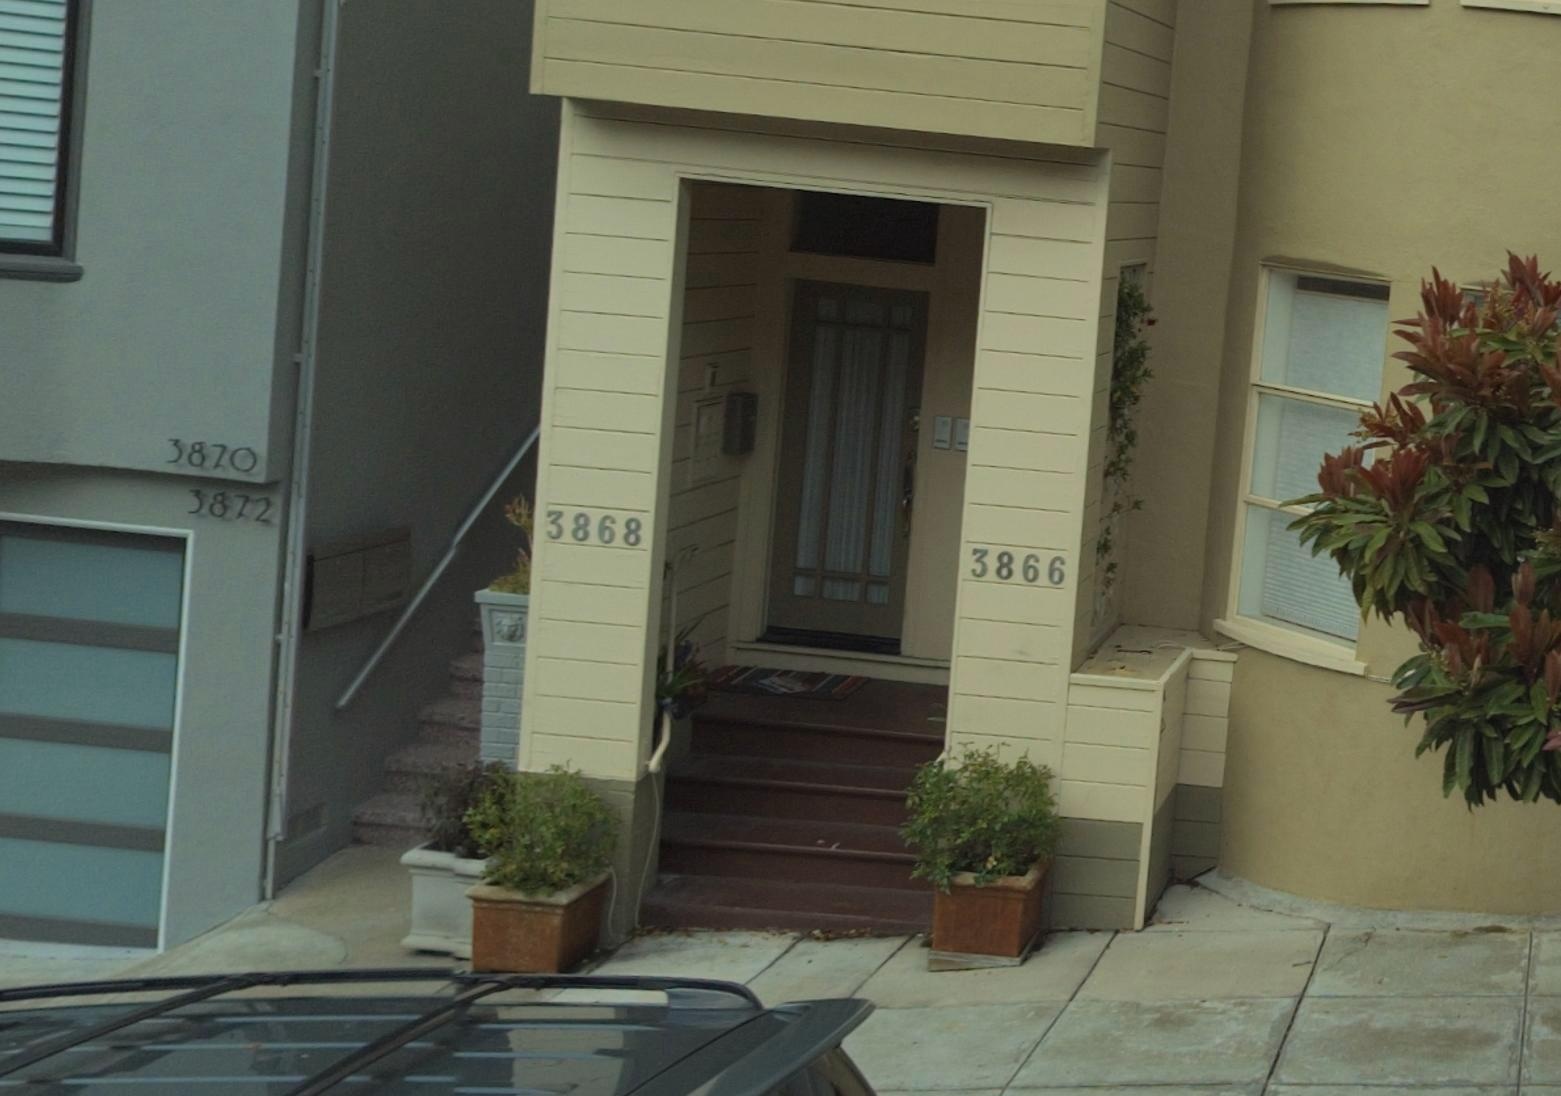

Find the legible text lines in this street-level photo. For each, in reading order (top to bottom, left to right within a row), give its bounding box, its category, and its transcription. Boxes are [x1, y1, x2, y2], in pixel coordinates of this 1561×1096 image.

[165, 435, 260, 477] StreetNumber: 3820
[185, 486, 277, 526] StreetNumber: 3872
[545, 510, 644, 548] StreetNumber: 3868
[970, 546, 1066, 588] StreetNumber: 3866